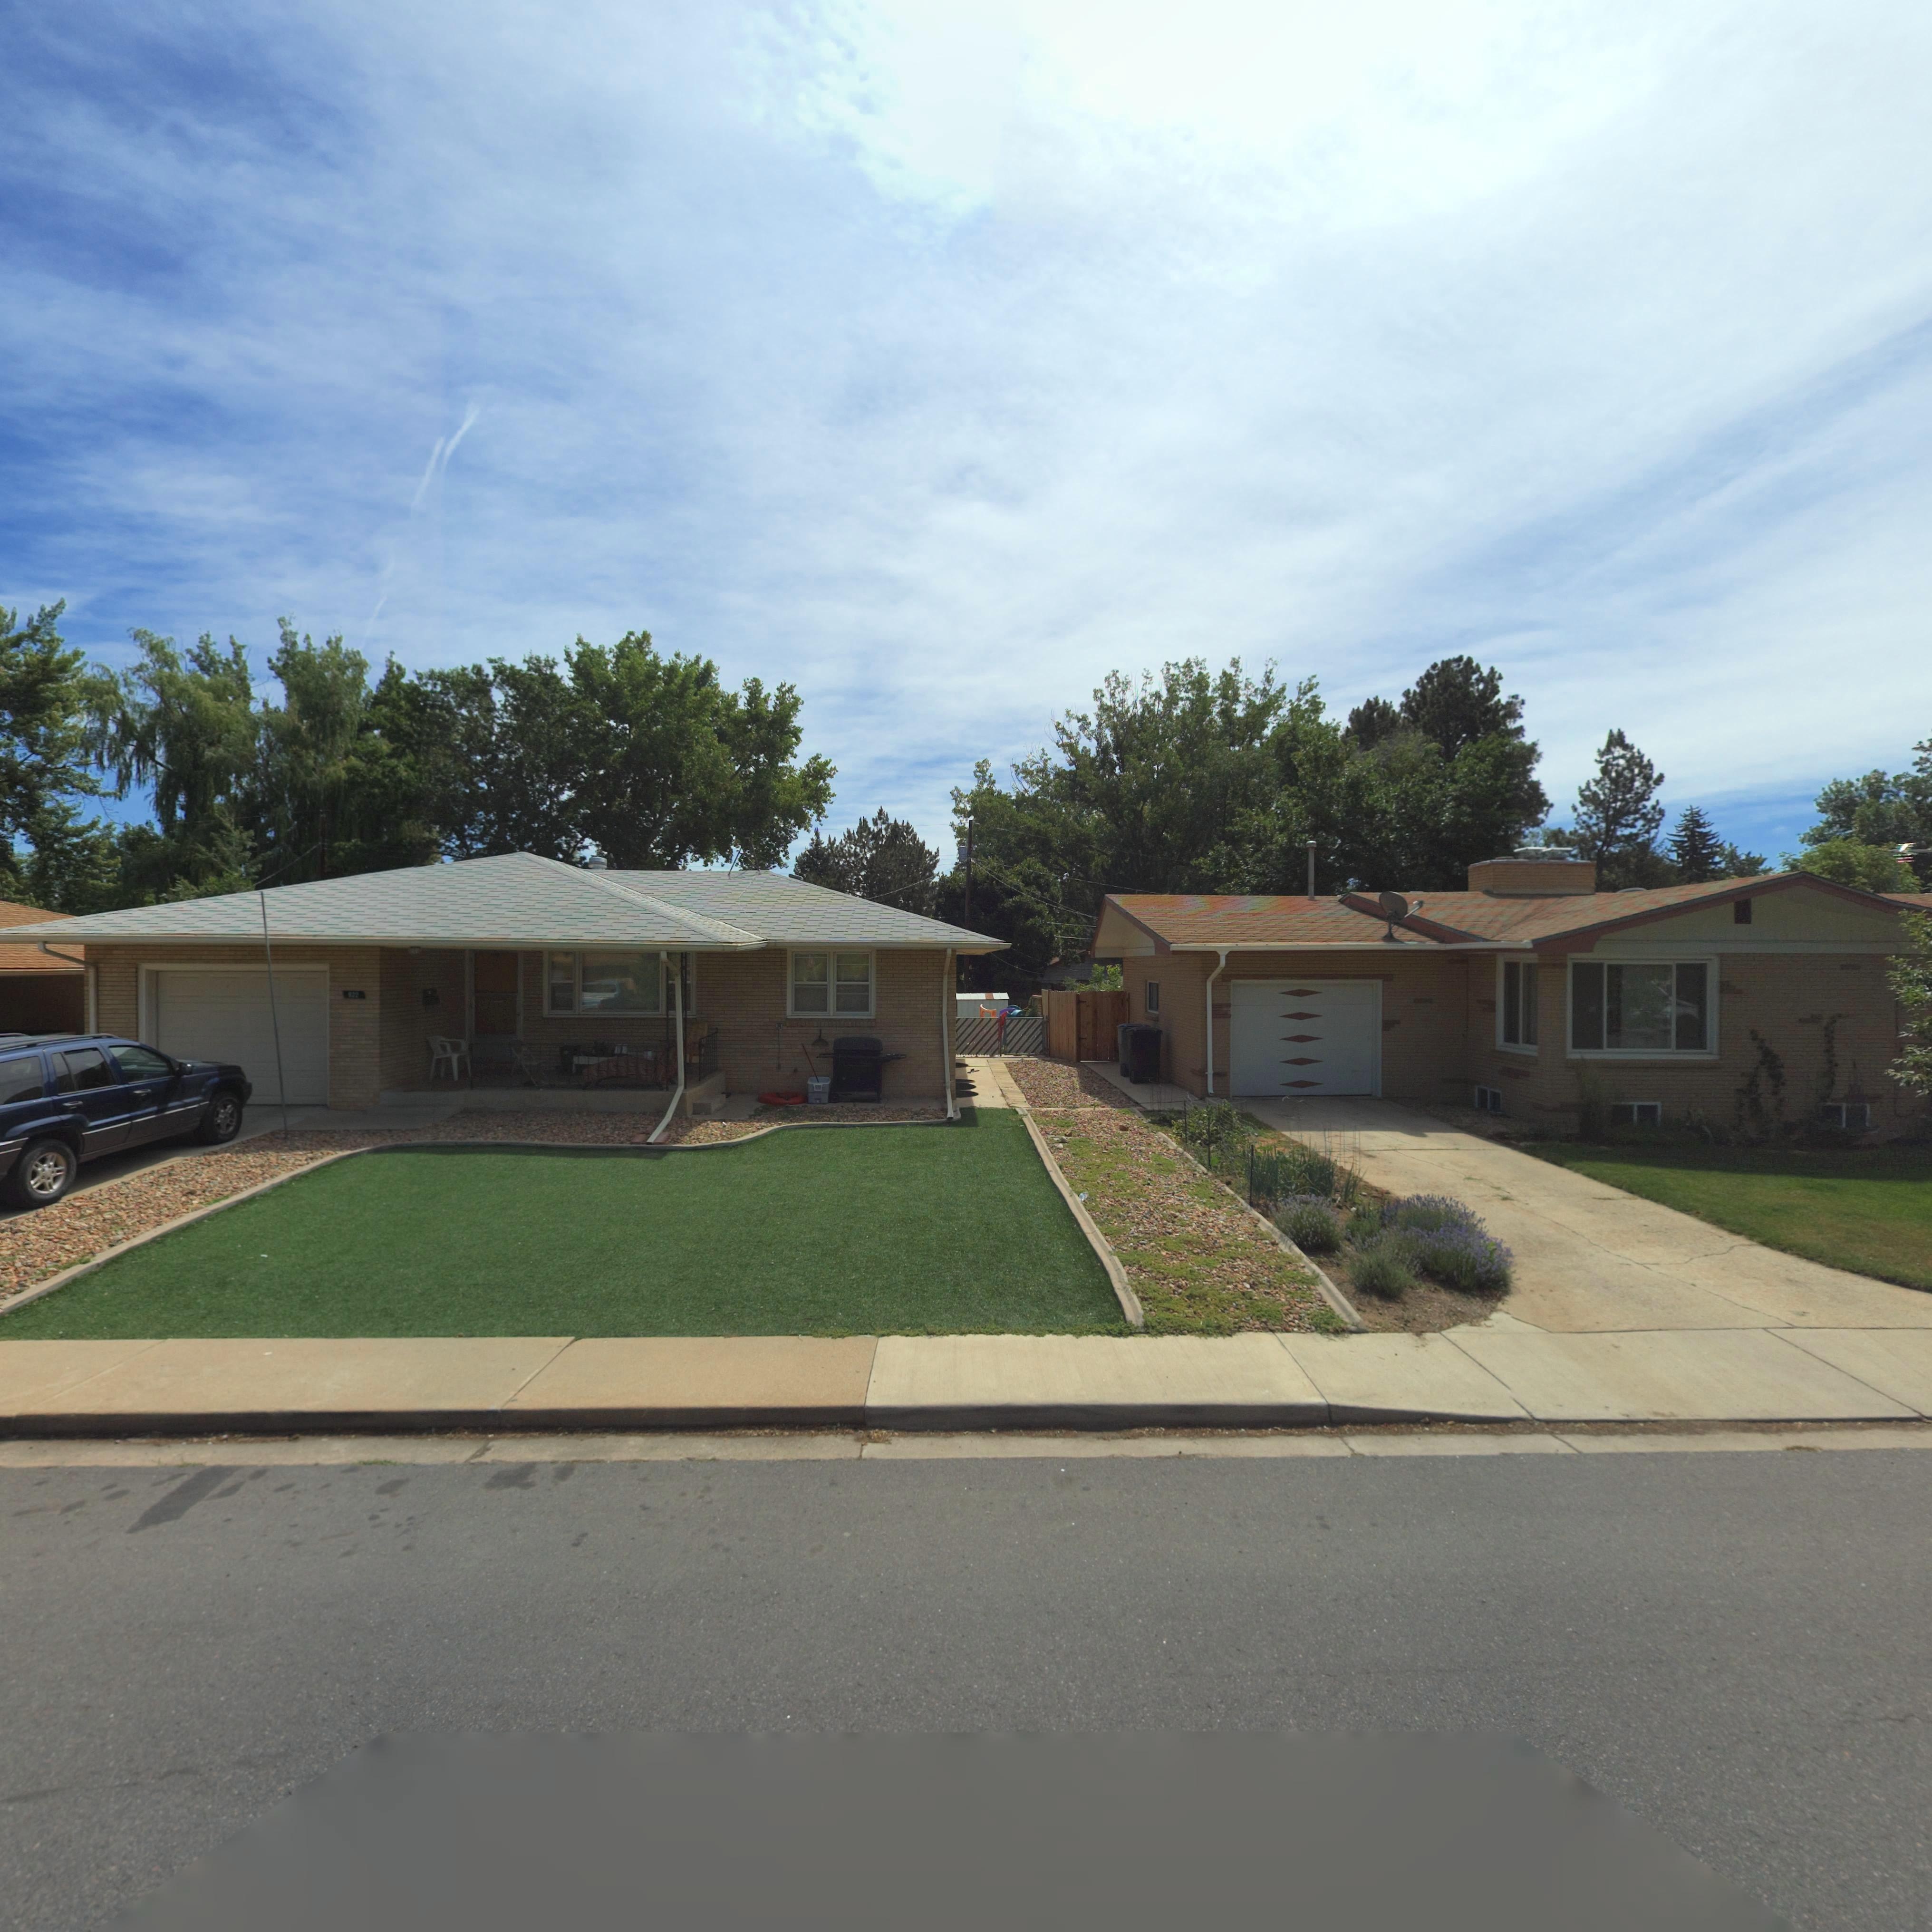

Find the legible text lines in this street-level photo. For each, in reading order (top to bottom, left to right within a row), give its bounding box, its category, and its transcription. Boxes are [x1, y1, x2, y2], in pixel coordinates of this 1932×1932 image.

[348, 991, 359, 997] StreetNumber: 922